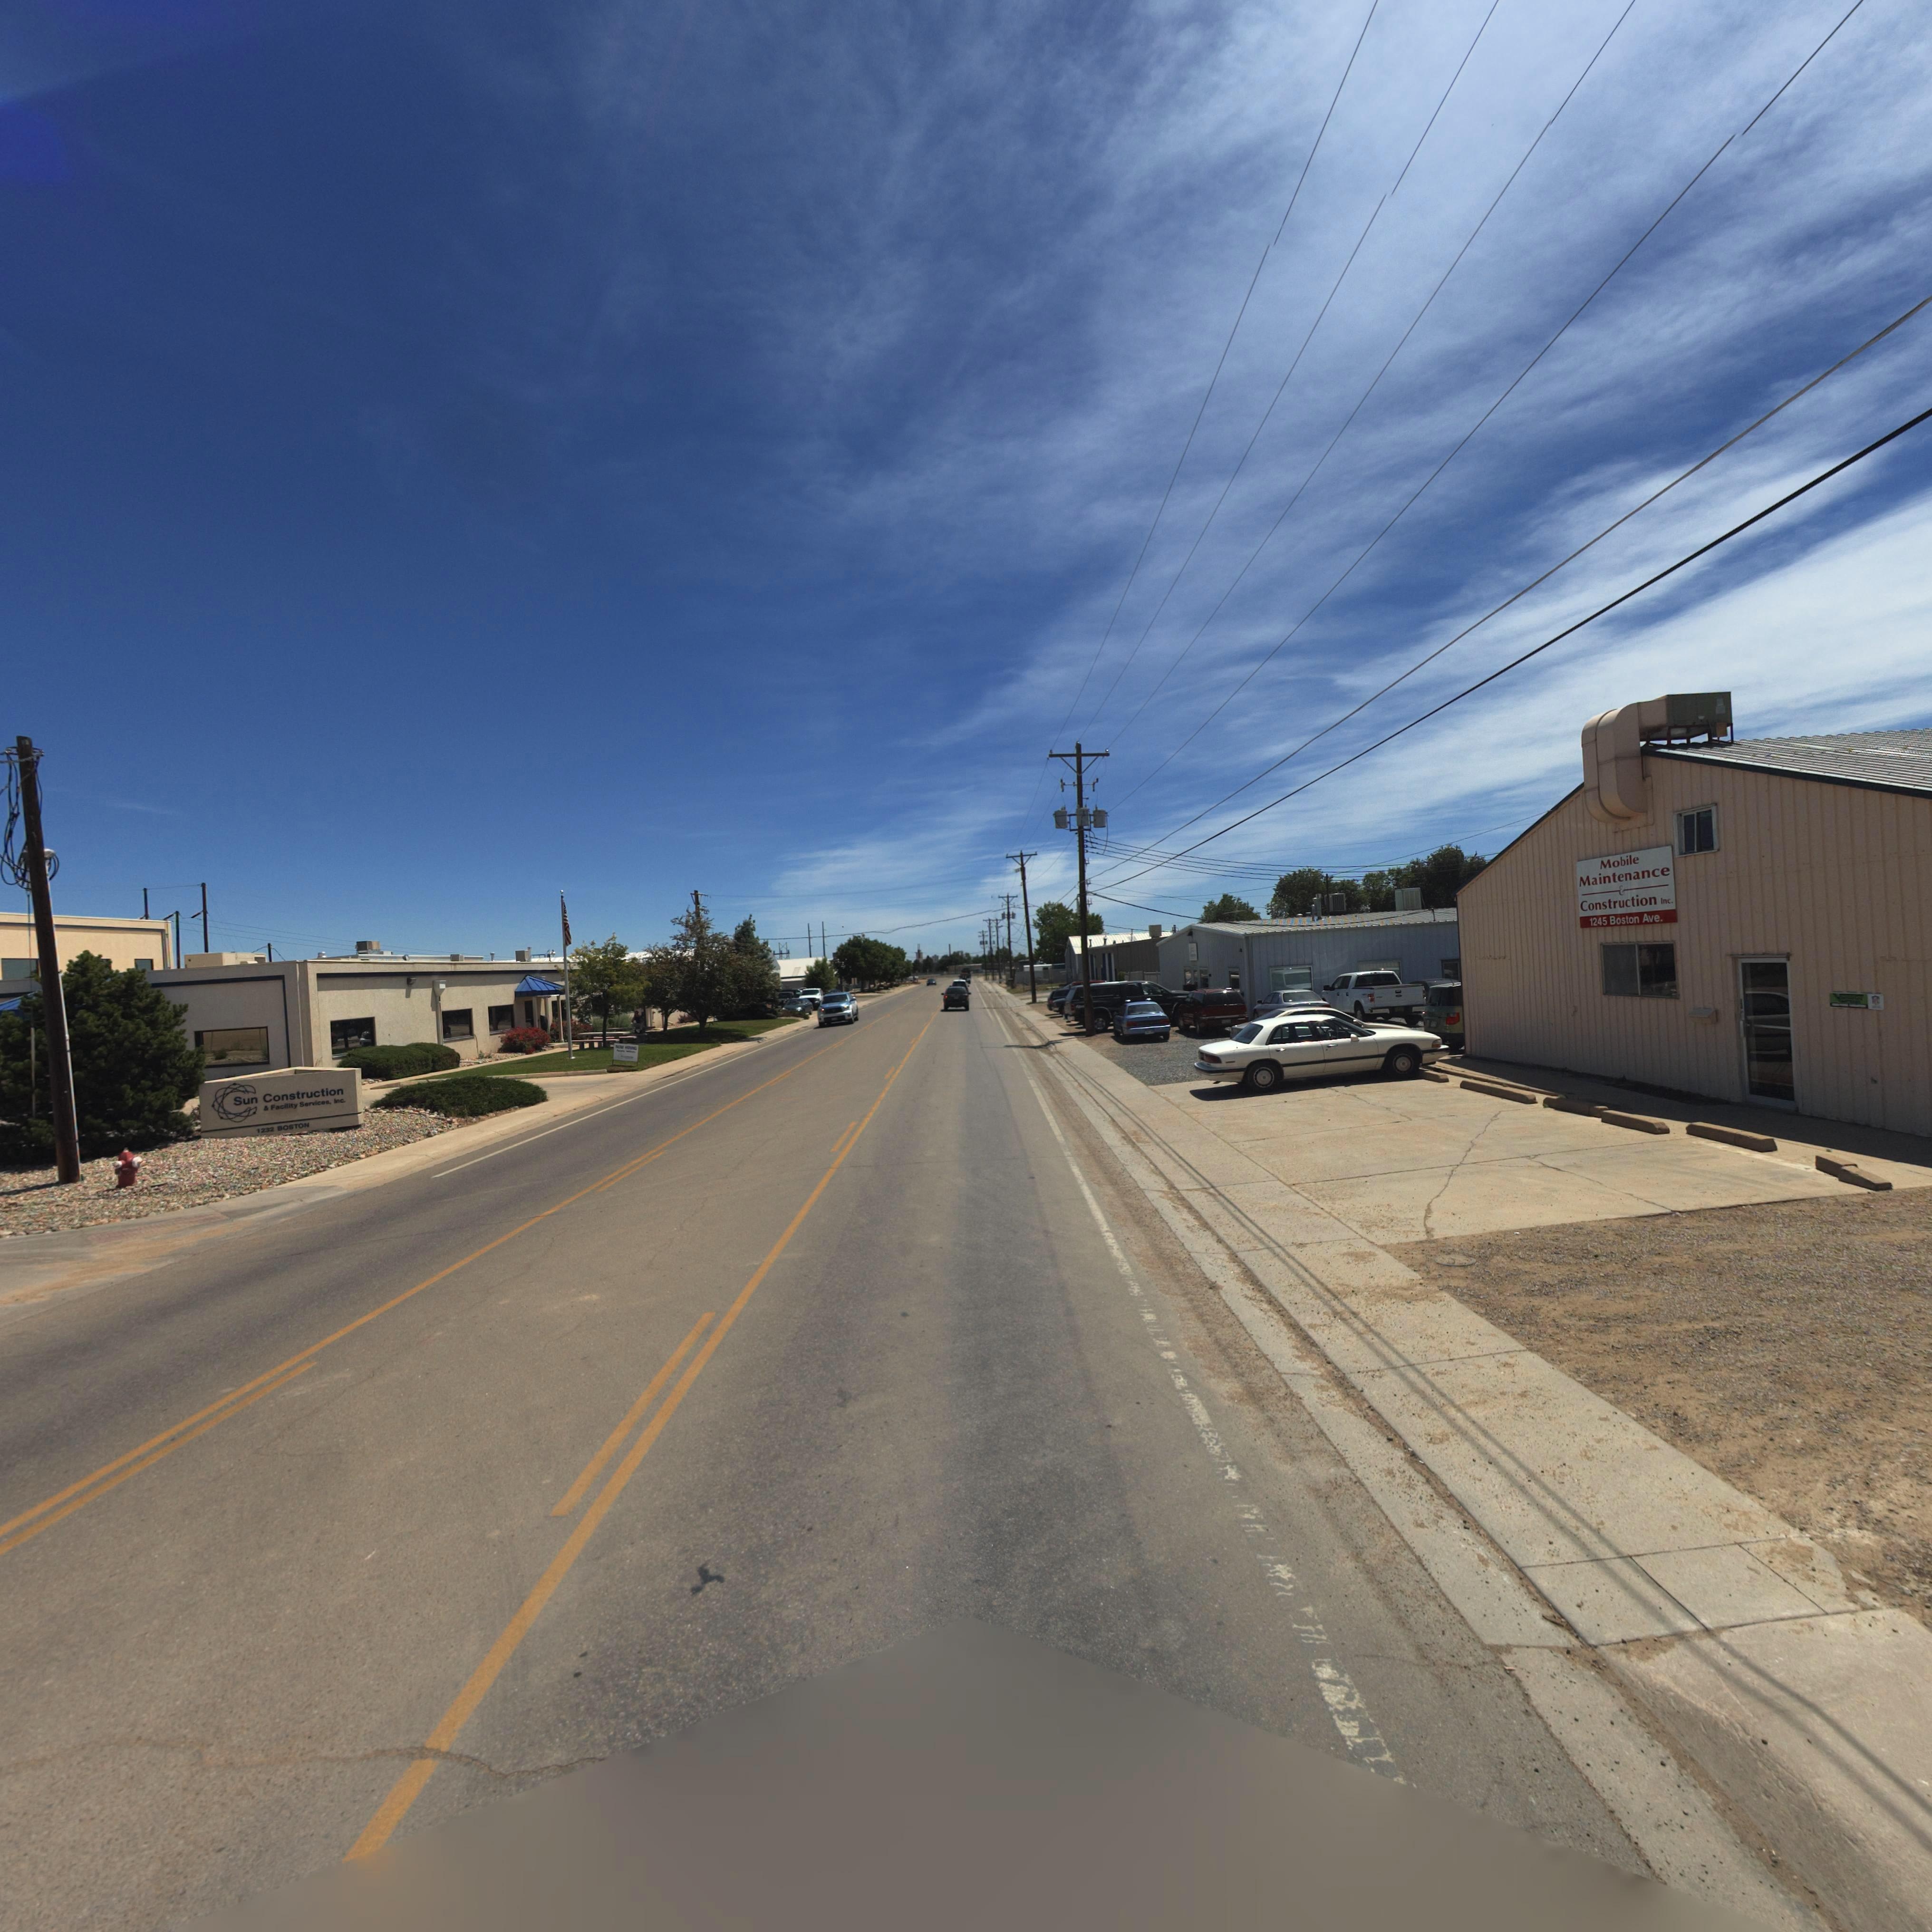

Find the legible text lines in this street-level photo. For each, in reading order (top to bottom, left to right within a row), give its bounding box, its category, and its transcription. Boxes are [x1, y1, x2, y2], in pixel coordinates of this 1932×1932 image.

[1599, 854, 1639, 870] BusinessName: Mobile
[1579, 866, 1670, 887] BusinessName: Maintennce
[1579, 893, 1657, 912] BusinessName: Construction
[1660, 897, 1671, 904] BusinessName: Inc
[1589, 916, 1608, 926] StreetNumber: 1245
[1609, 913, 1663, 925] StreetName: Boston Ave.
[233, 1088, 343, 1105] BusinessName: Sun Construction
[263, 1098, 346, 1111] BusinessName: & Facility Services, Inc.
[255, 1126, 274, 1133] StreetNumber: 1232
[277, 1121, 309, 1131] StreetName: BOSTON